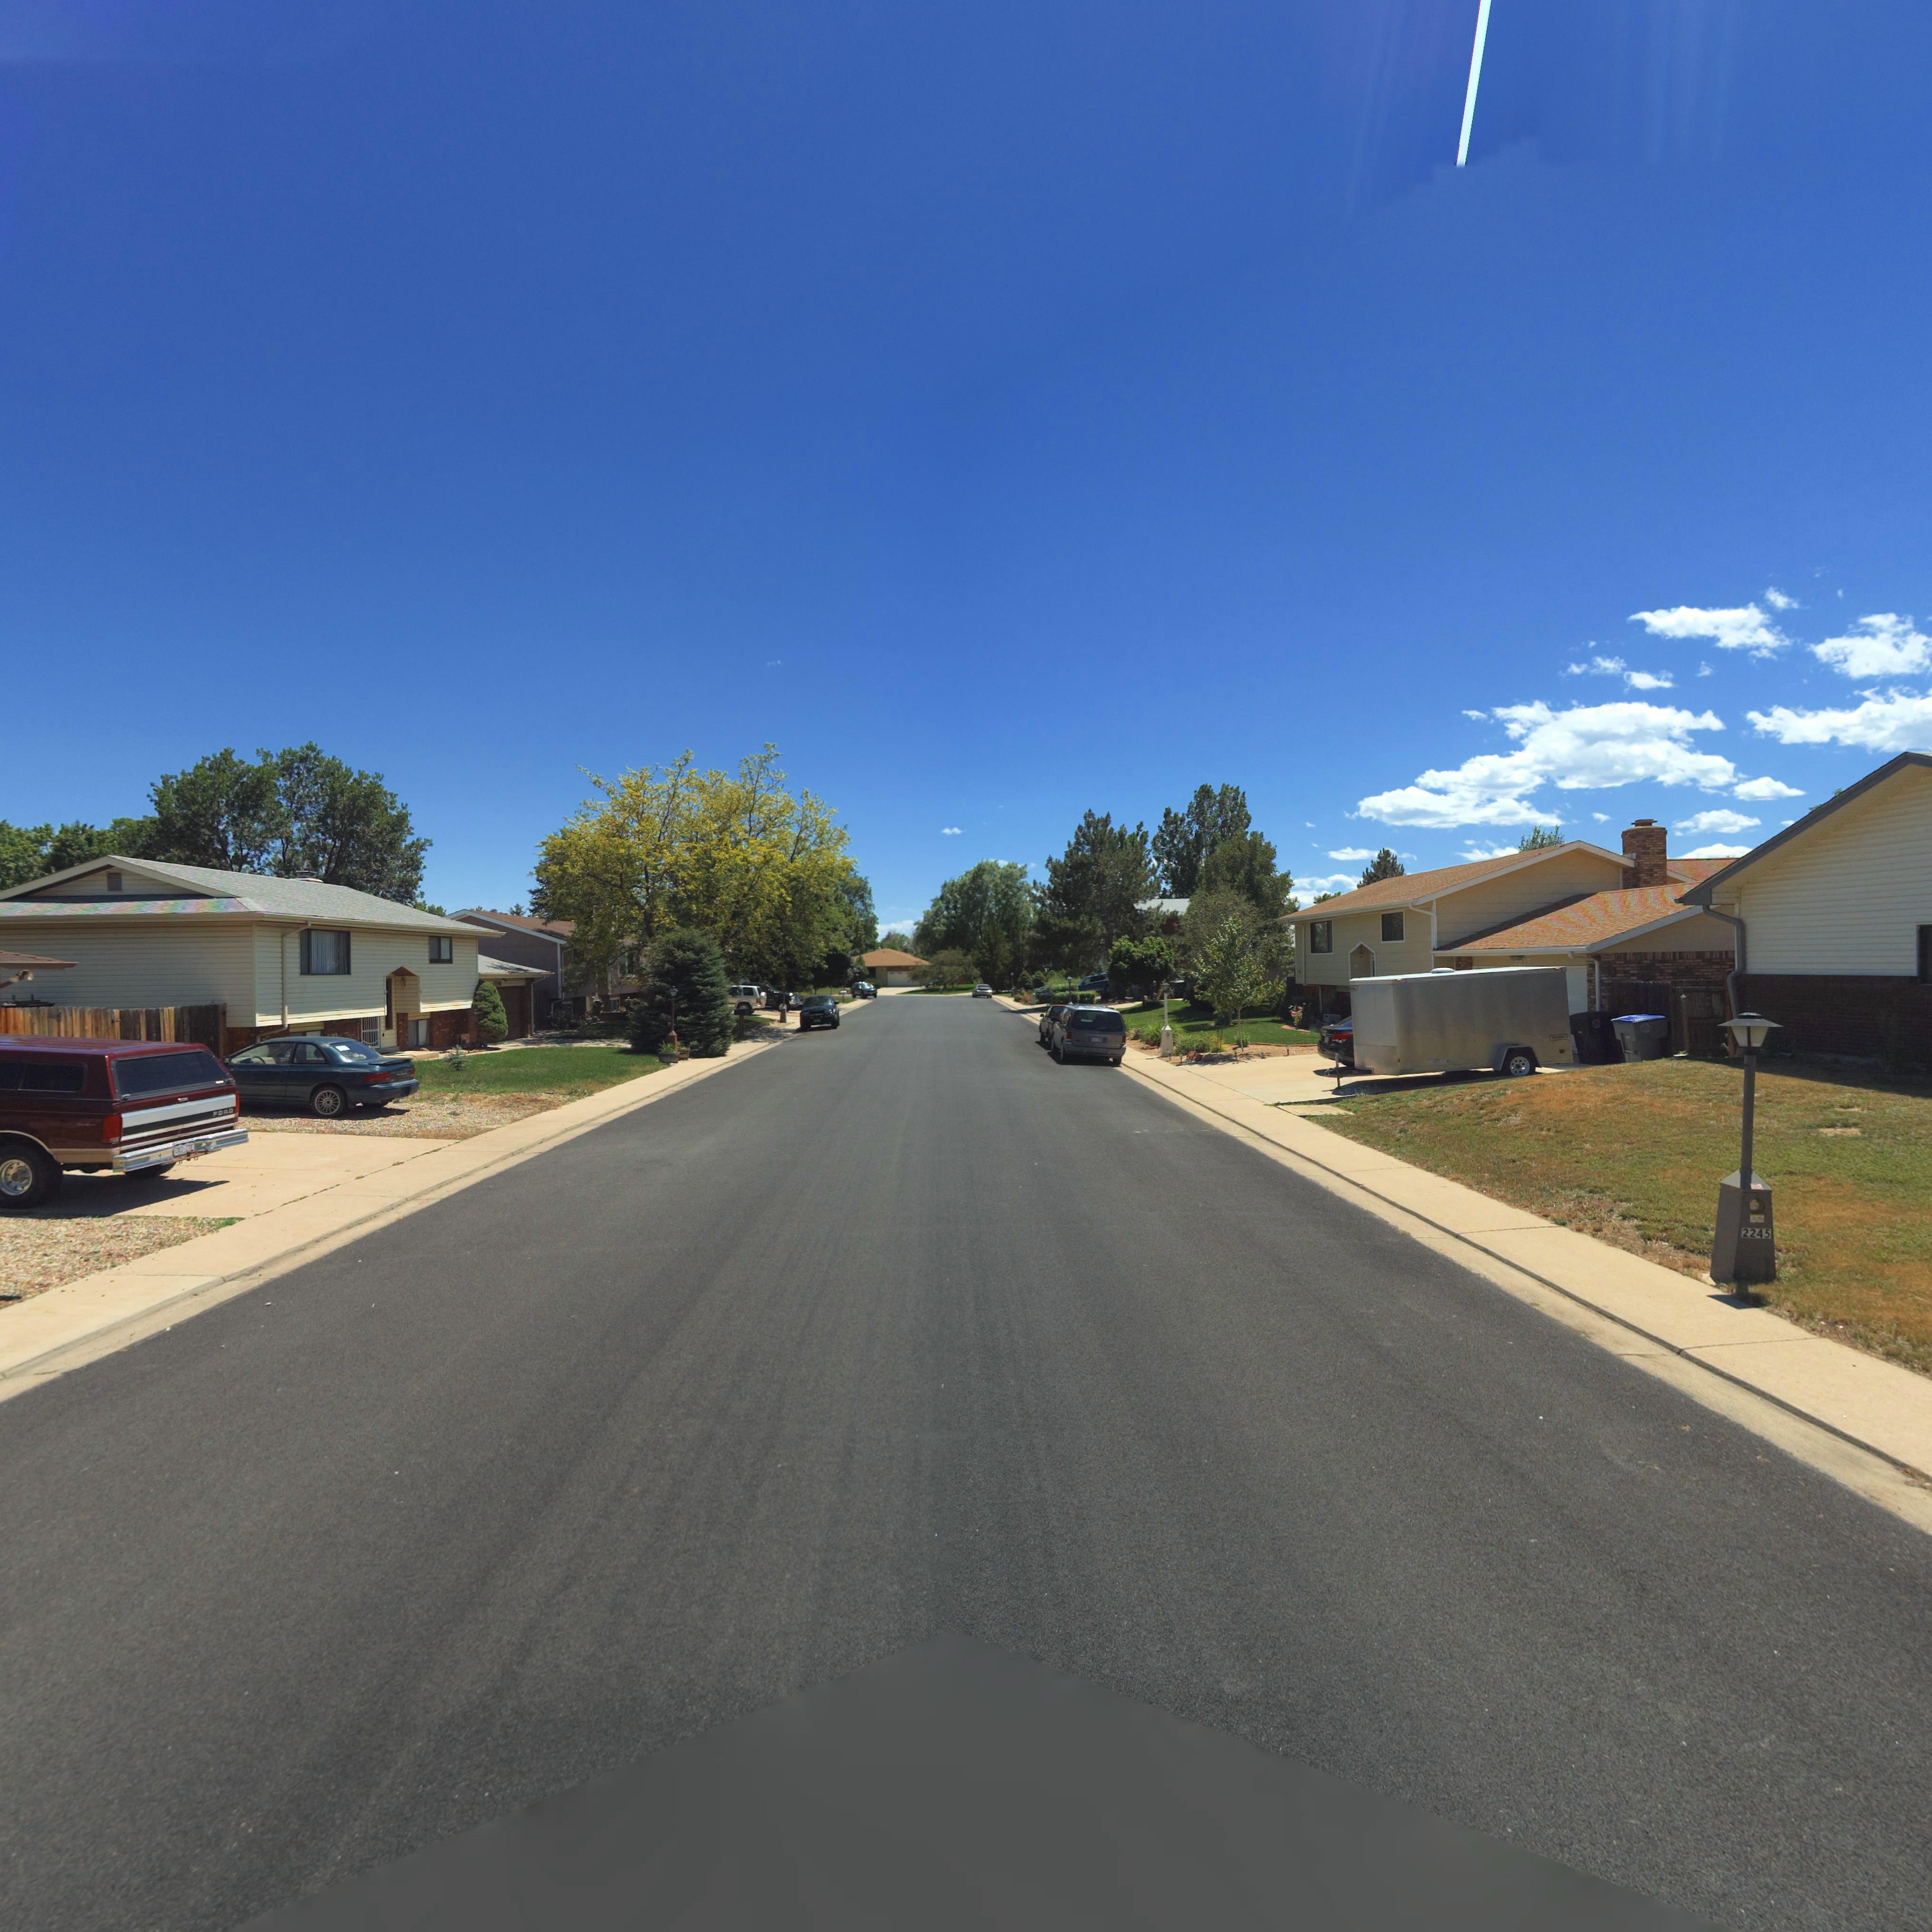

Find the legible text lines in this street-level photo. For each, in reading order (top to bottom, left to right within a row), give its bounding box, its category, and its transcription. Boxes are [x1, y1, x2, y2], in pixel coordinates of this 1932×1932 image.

[1742, 1228, 1771, 1239] StreetNumber: 2245